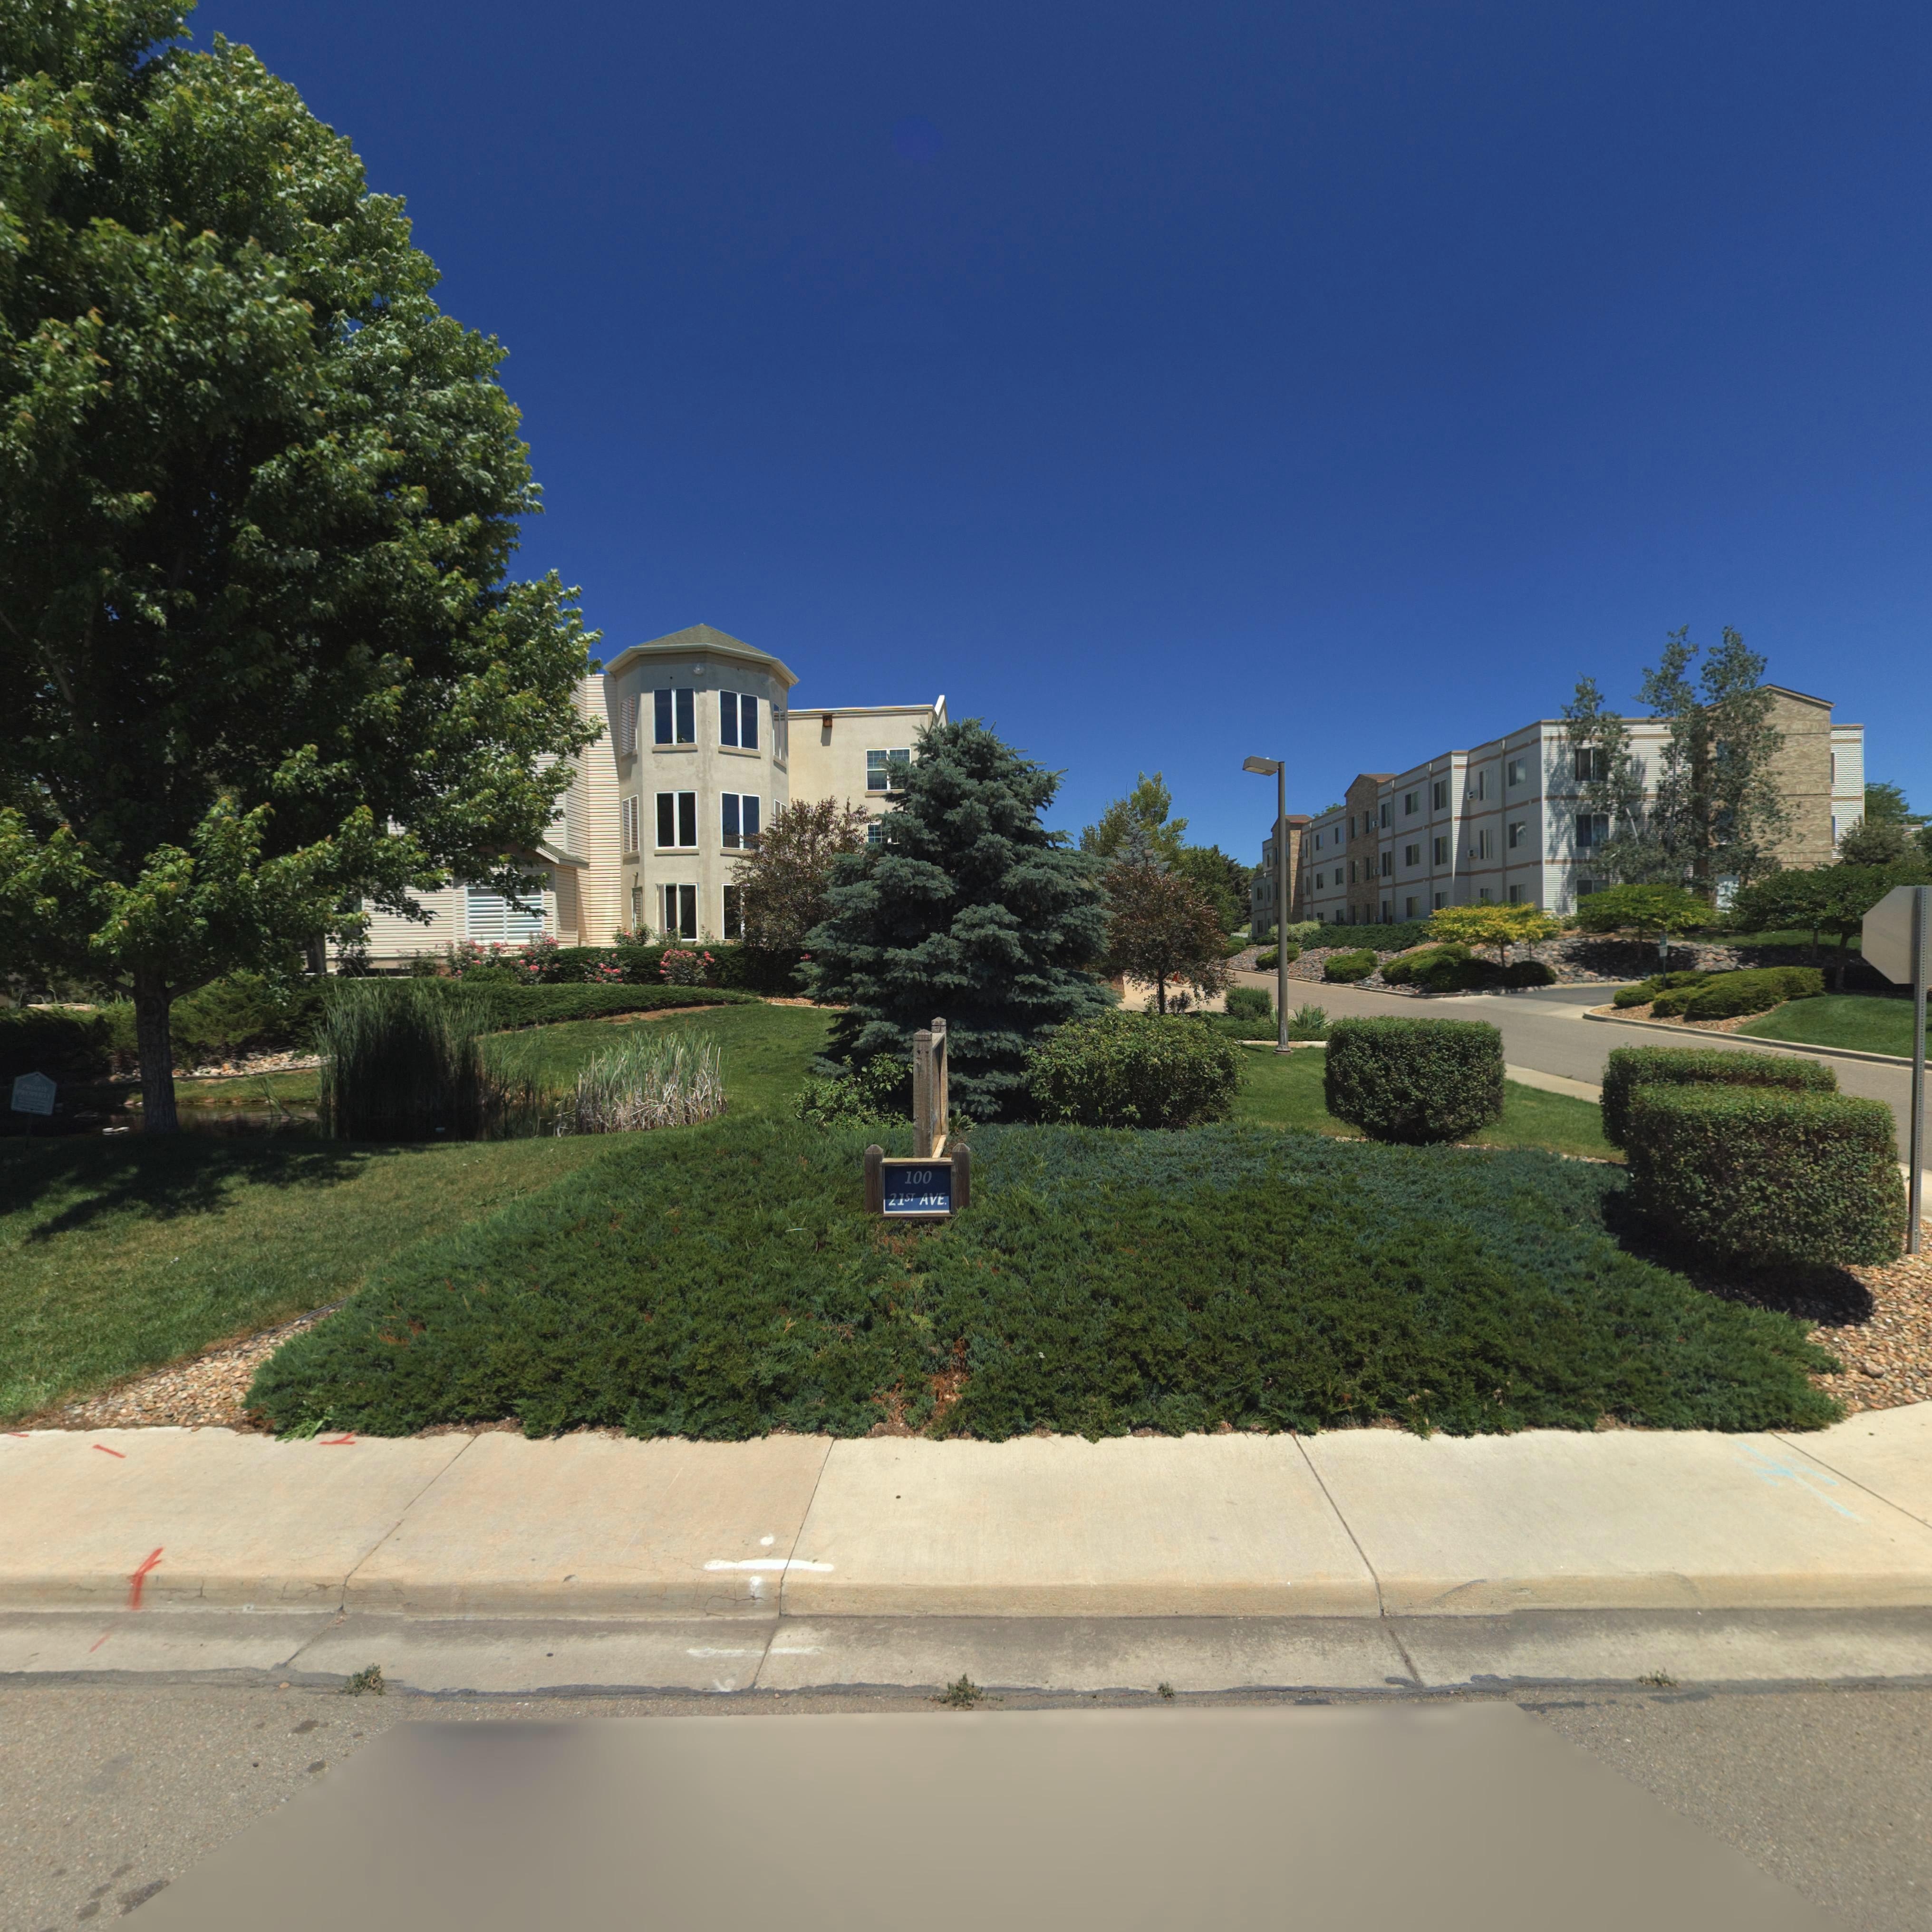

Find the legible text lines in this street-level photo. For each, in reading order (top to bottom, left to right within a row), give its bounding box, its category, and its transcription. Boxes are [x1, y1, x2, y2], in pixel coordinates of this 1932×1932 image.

[904, 1169, 932, 1184] StreetNumber: 100
[888, 1191, 946, 1206] StreetName: 21ST AVE